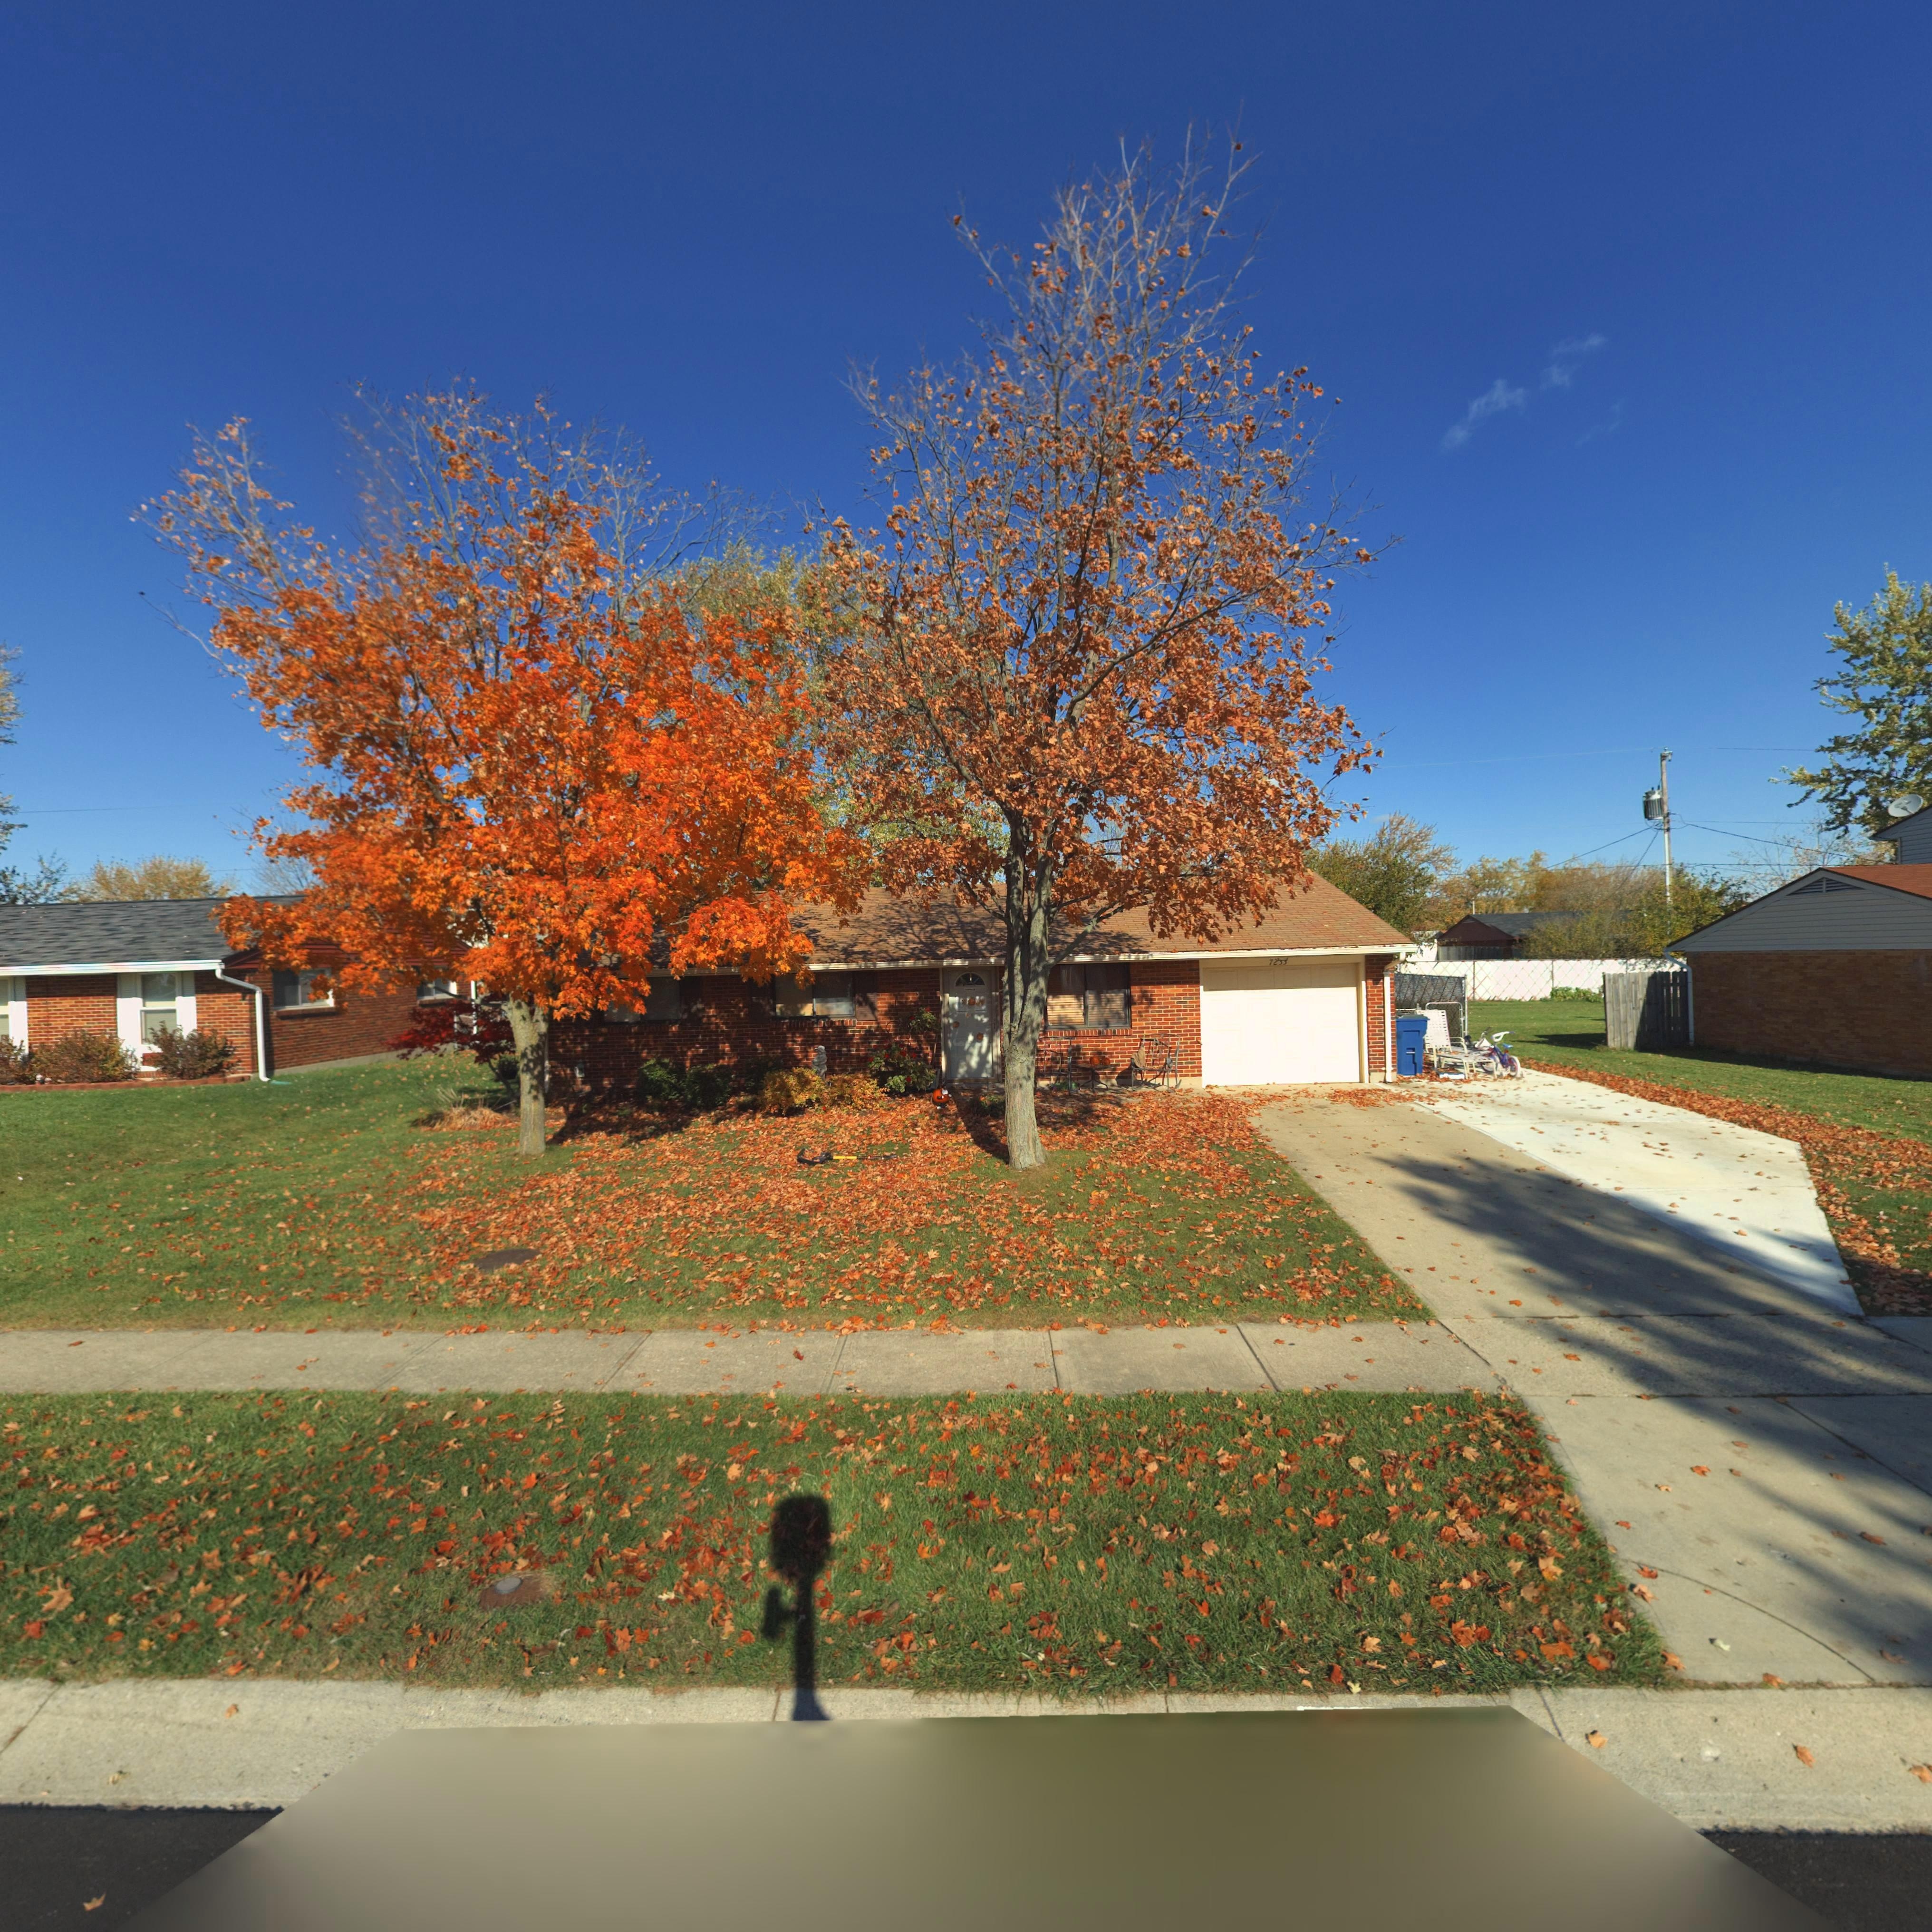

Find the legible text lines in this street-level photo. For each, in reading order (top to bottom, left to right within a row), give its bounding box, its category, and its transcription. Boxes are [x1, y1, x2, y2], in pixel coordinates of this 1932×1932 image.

[1268, 957, 1278, 966] StreetNumber: 72